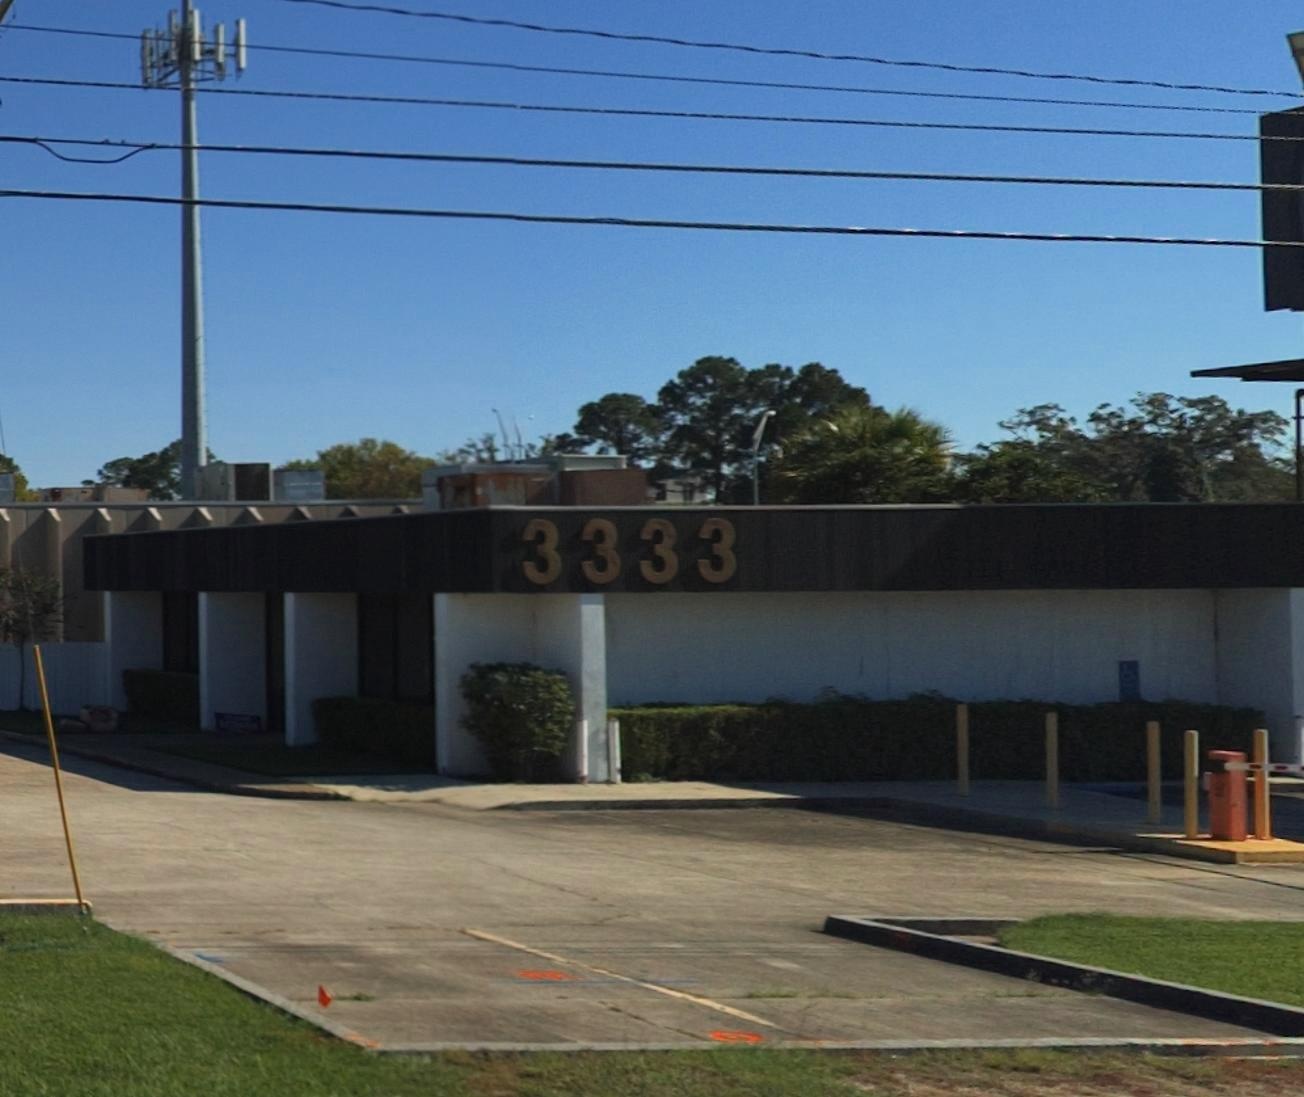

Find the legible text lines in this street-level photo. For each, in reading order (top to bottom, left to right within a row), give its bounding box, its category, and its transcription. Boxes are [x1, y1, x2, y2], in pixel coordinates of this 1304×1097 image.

[519, 516, 739, 587] StreetNumber: 3333